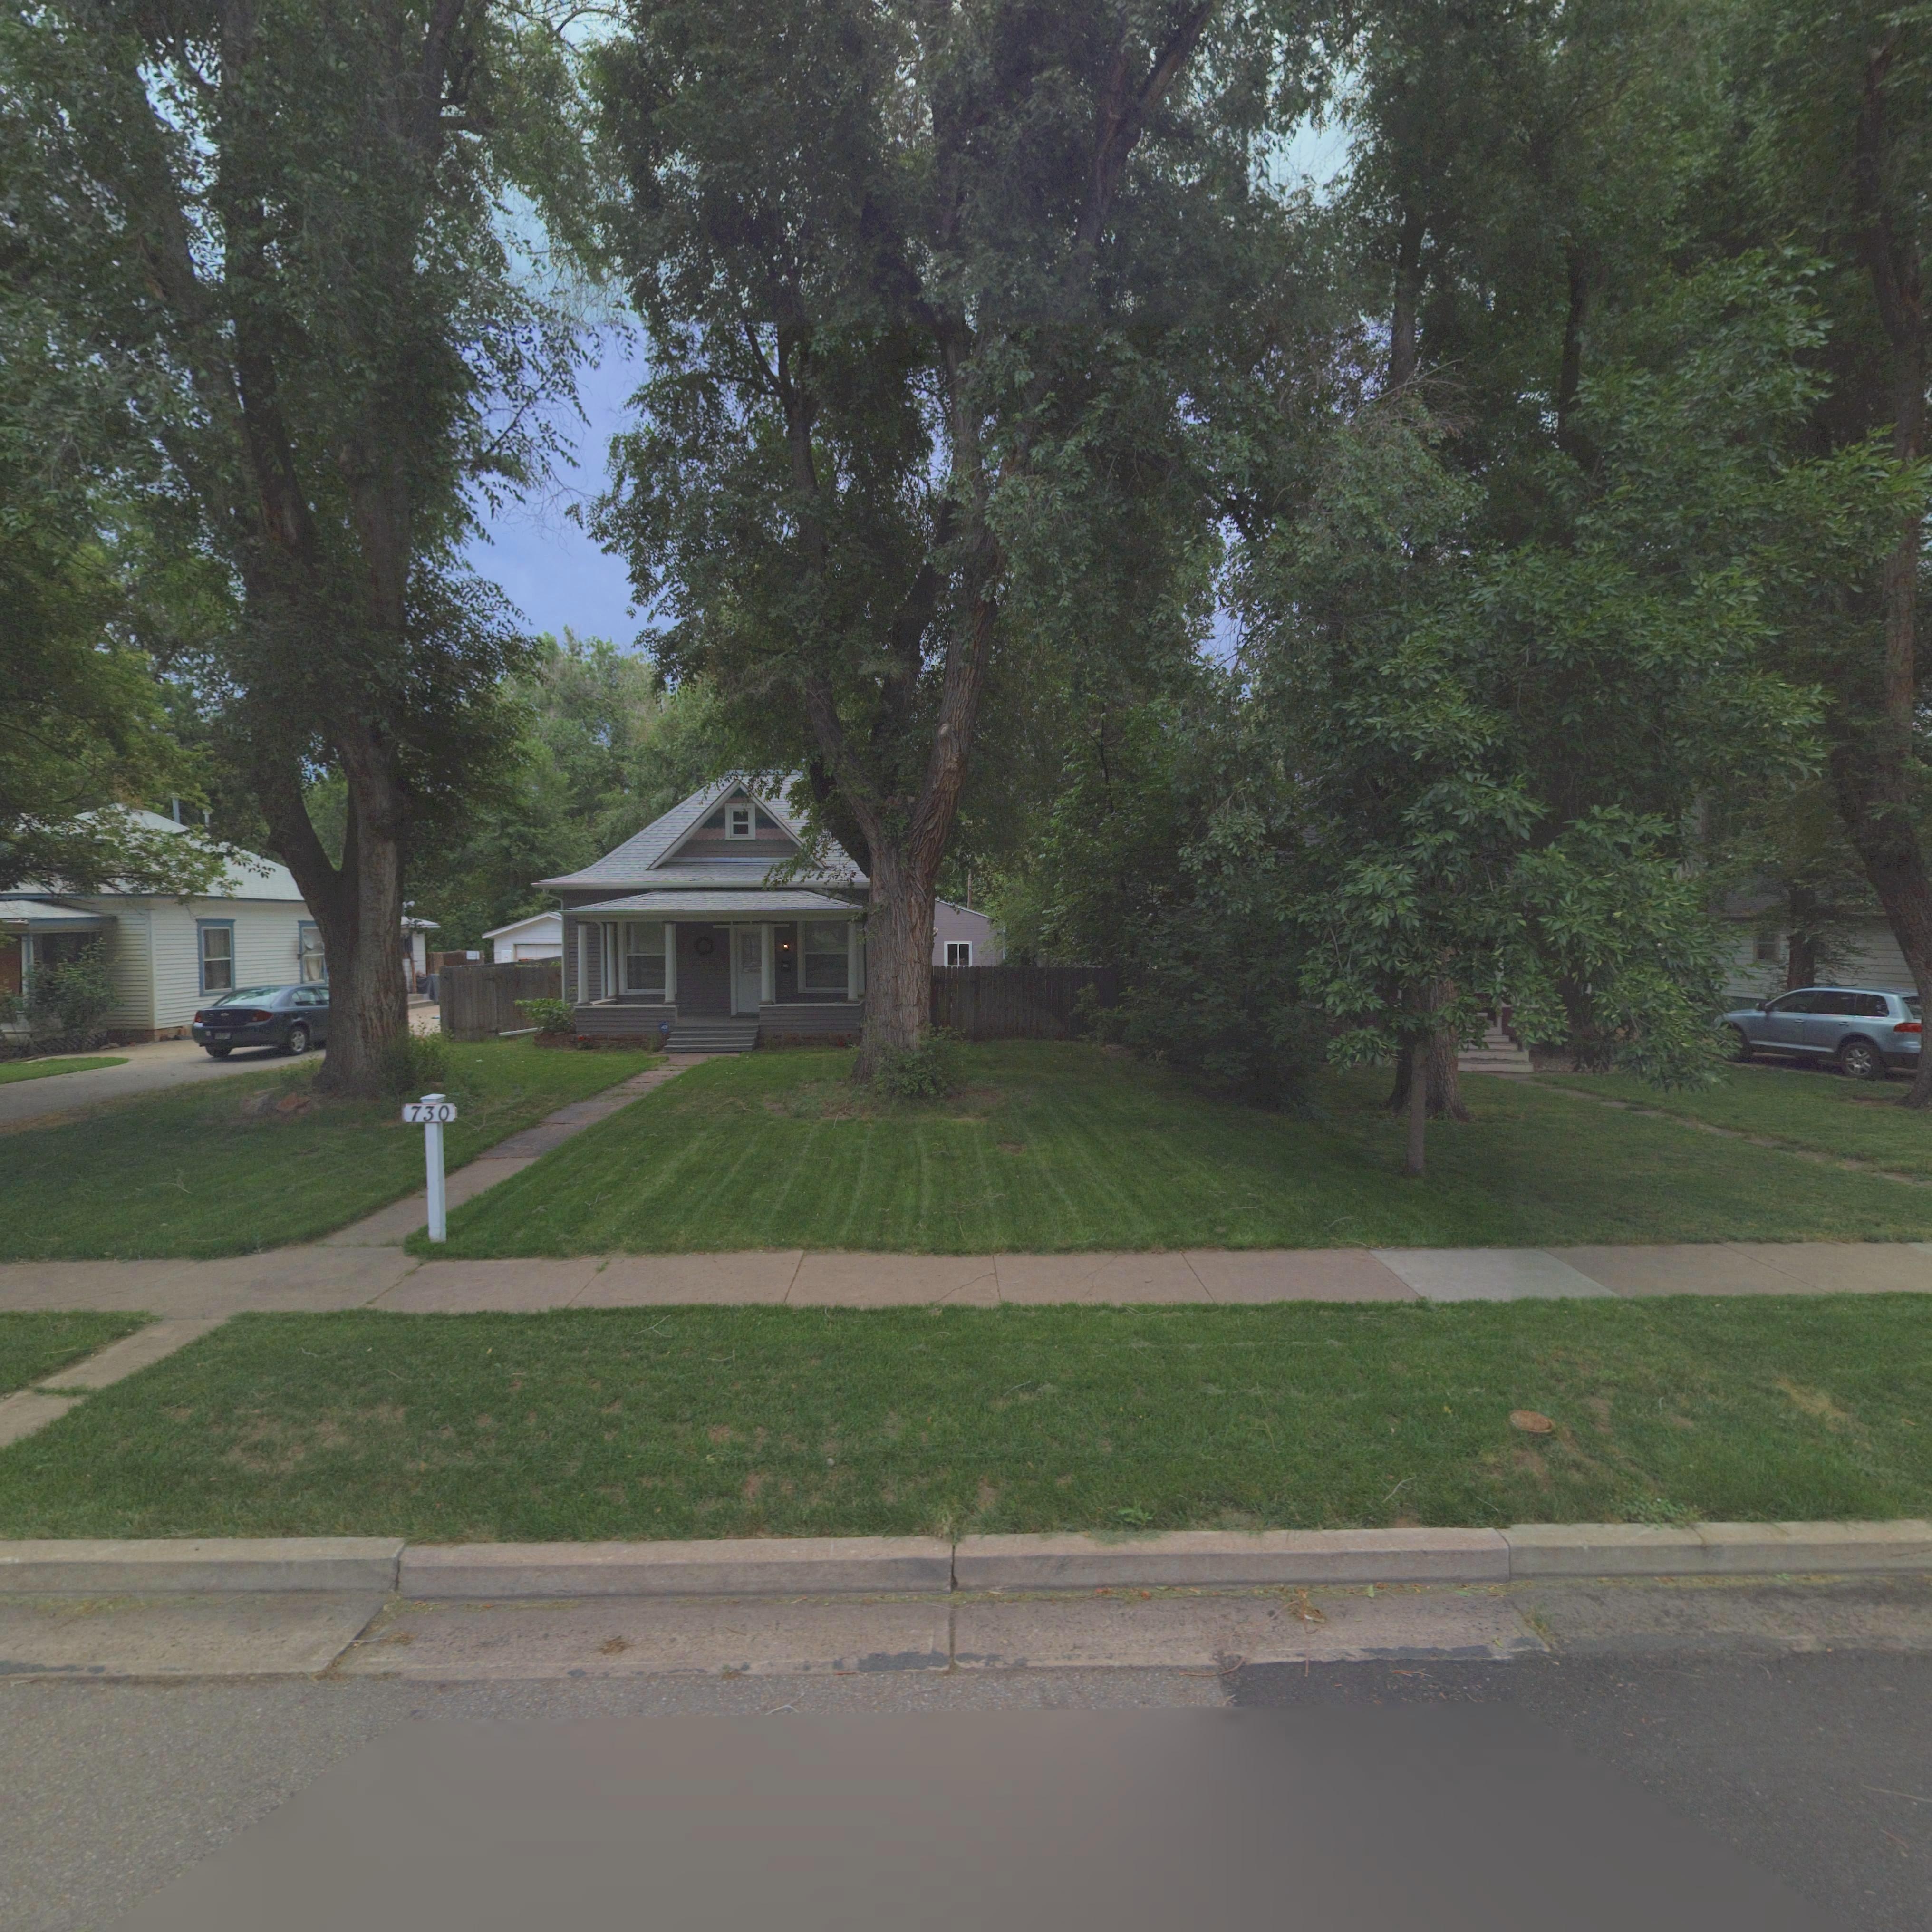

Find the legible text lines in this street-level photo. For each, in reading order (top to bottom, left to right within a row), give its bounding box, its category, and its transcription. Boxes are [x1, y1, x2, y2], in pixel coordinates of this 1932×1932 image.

[411, 1105, 450, 1121] StreetNumber: 730